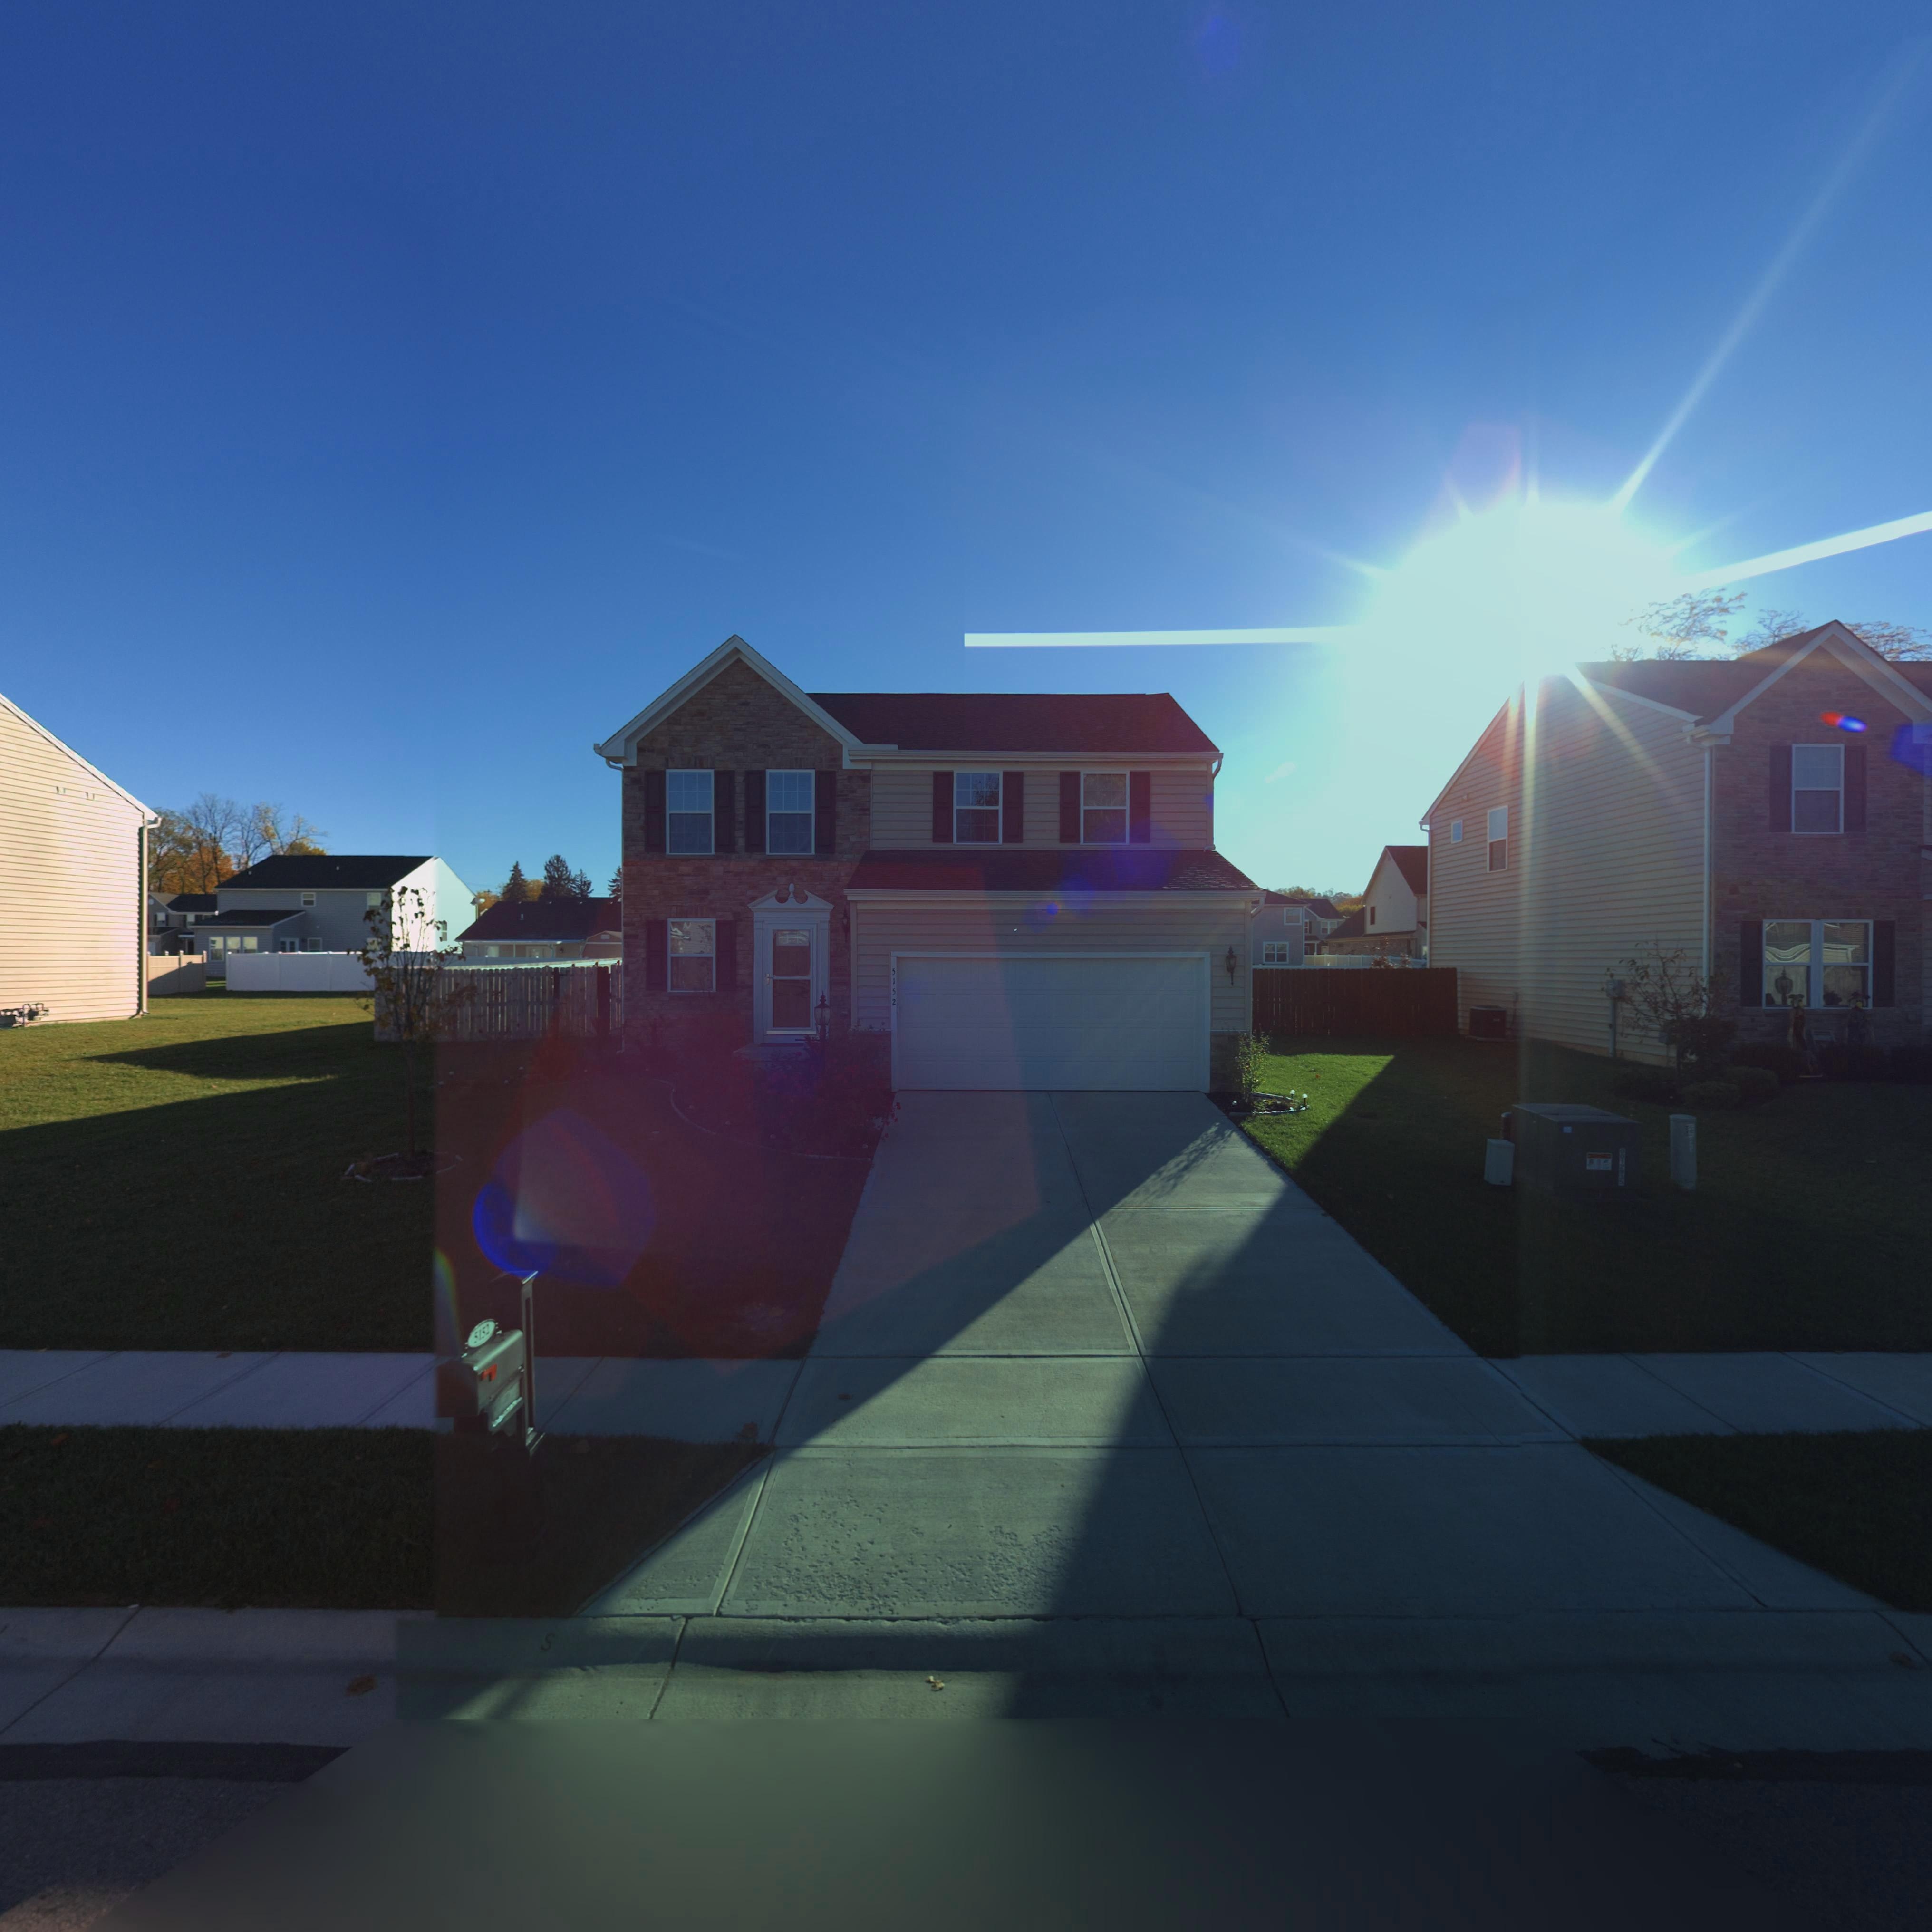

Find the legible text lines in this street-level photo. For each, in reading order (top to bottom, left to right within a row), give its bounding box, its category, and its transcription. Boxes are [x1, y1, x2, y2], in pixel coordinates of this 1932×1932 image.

[890, 966, 897, 1007] StreetNumber: 5152
[473, 1322, 492, 1345] StreetNumber: 5152